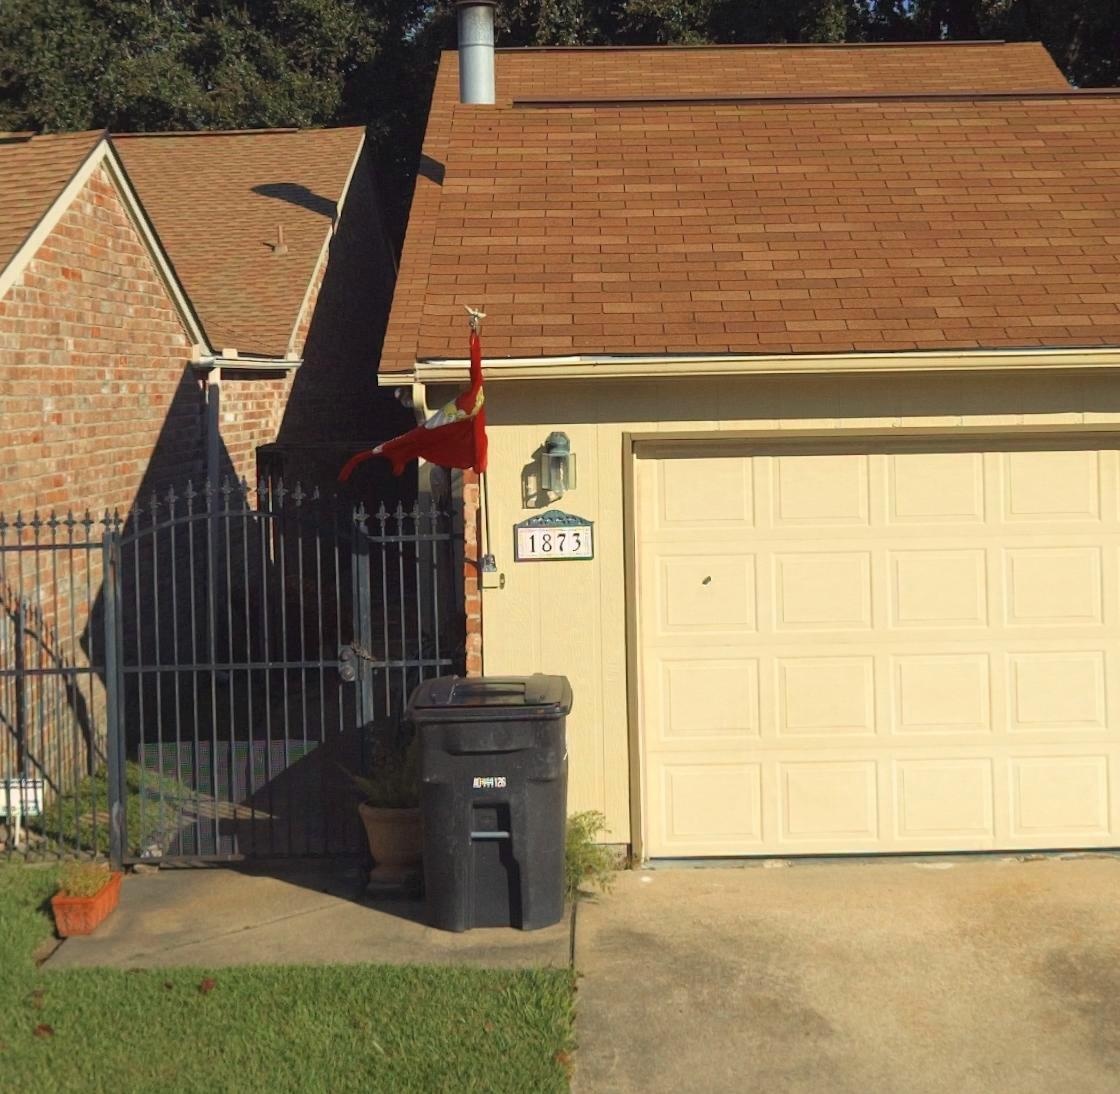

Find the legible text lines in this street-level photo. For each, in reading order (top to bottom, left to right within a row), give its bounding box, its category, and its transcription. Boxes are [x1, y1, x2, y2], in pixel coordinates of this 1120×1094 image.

[527, 531, 583, 554] StreetNumber: 1873